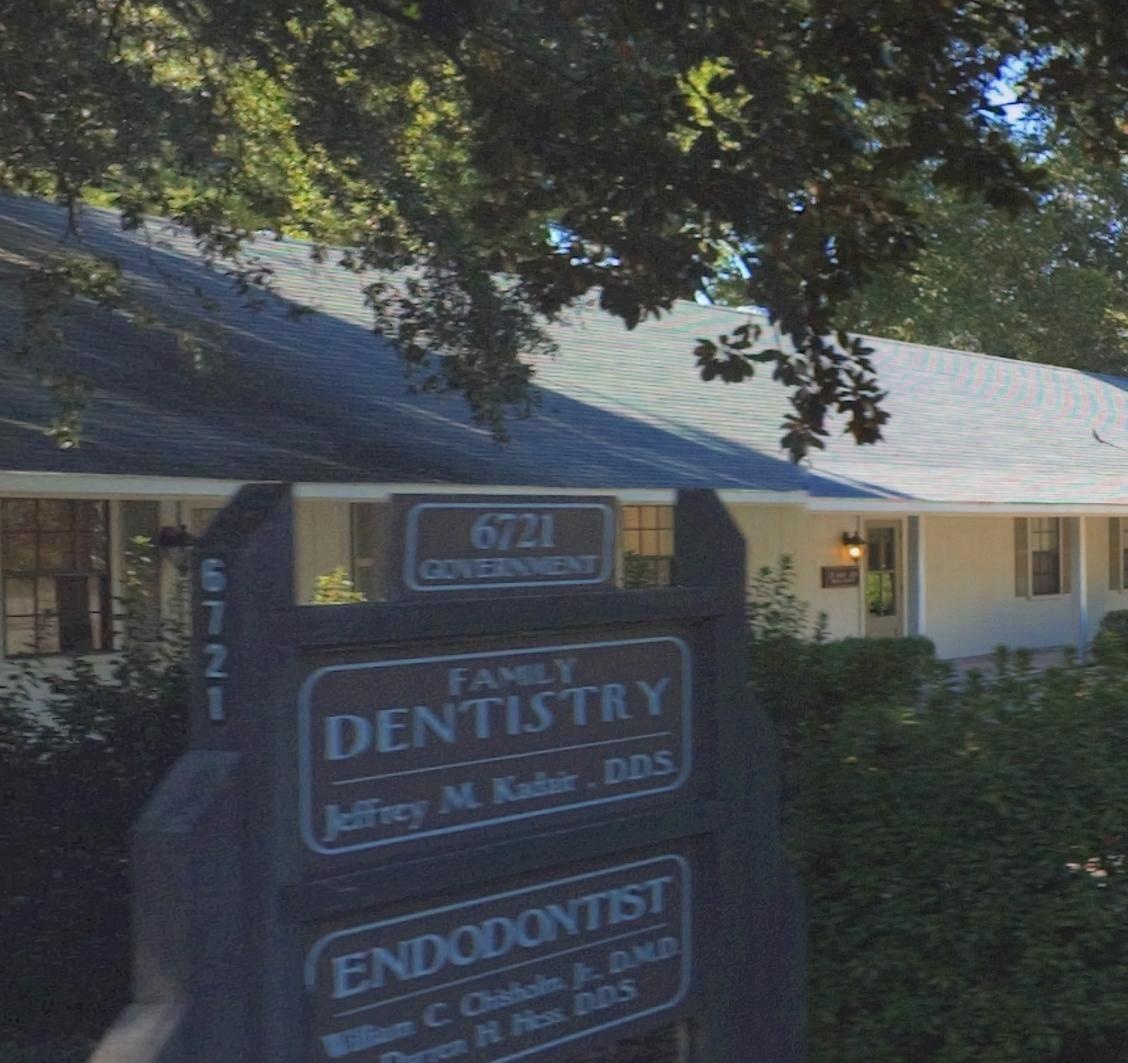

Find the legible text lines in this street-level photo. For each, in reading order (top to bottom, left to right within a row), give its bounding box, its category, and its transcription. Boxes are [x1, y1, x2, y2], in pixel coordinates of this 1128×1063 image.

[414, 553, 604, 581] StreetName: GOVERNMENT
[466, 511, 560, 553] StreetNumber: 6721
[198, 556, 230, 724] StreetNumber: 6721
[320, 674, 675, 762] BusinessName: DENTISTRY
[446, 655, 581, 700] BusinessName: FAMILY
[318, 748, 678, 845] None: Jeffrey M Kadeir, DDS
[325, 870, 680, 1004] None: ENDODONTIST
[314, 931, 682, 1062] None: William C Chrisholm Jr DMD
[472, 972, 645, 1052] None: H Hess DDS